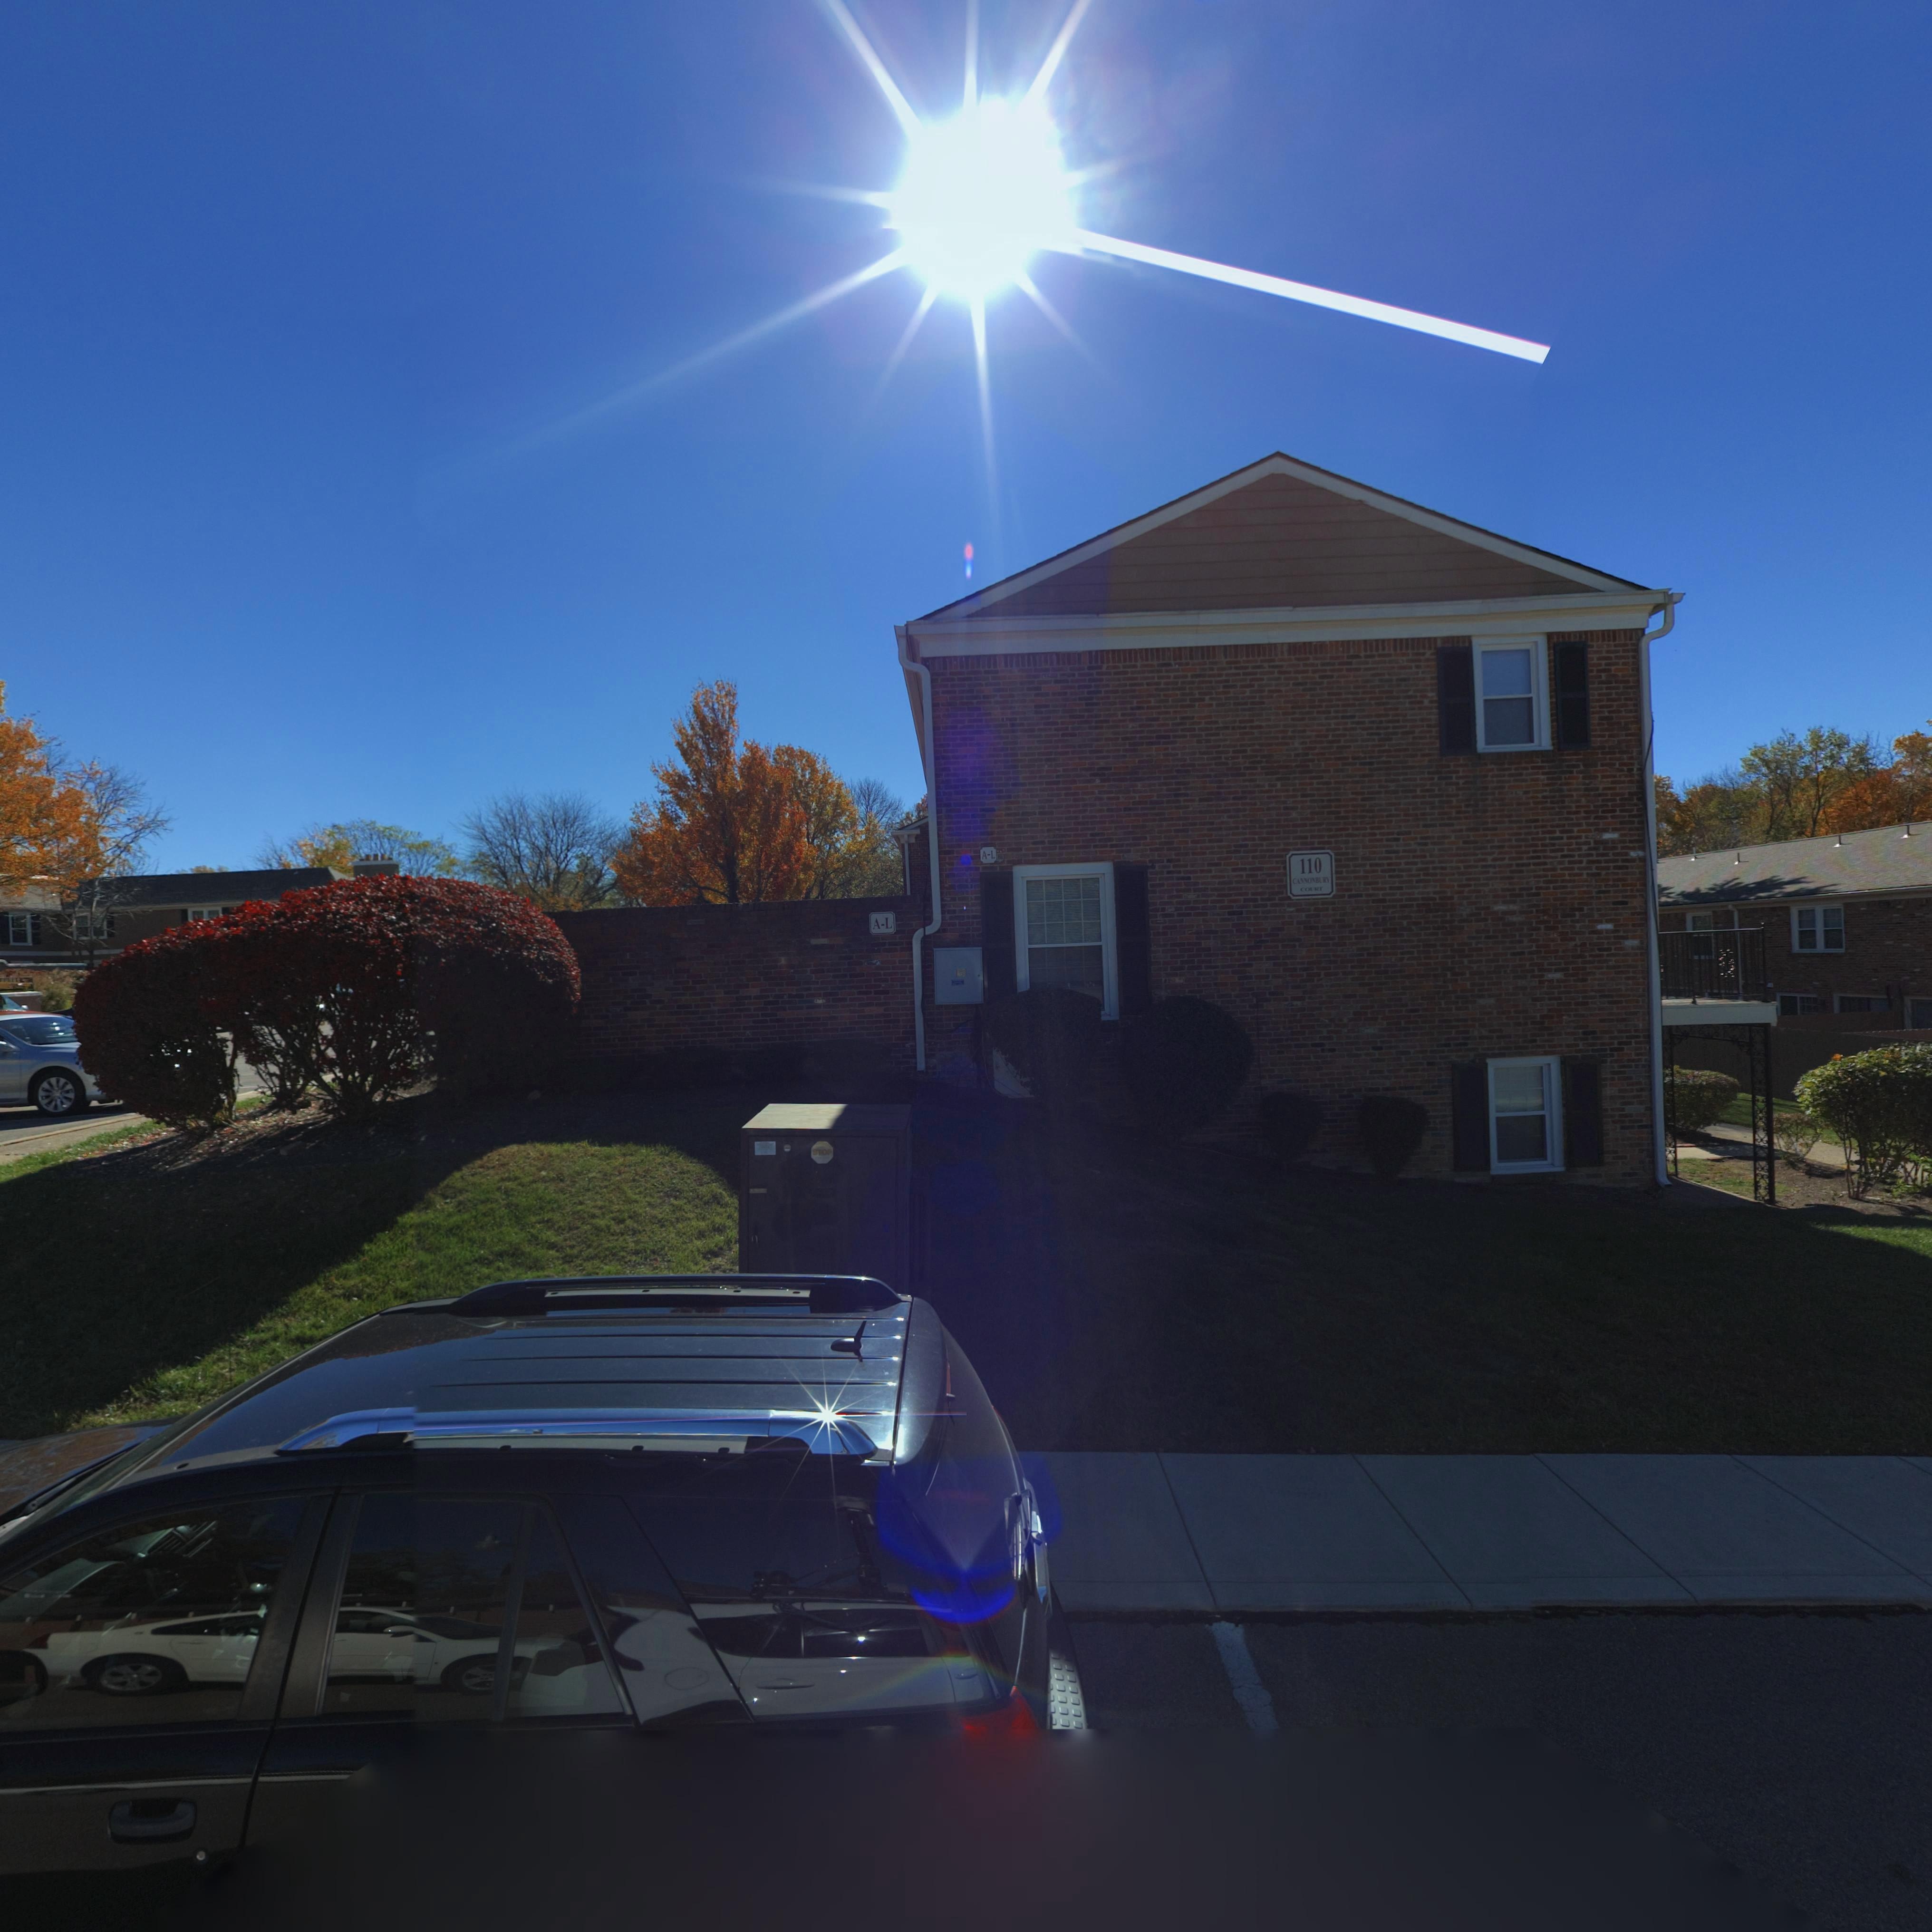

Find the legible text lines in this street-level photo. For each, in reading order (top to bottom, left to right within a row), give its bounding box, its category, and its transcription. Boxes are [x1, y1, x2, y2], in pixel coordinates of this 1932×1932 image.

[1298, 856, 1322, 875] StreetNumber: 110